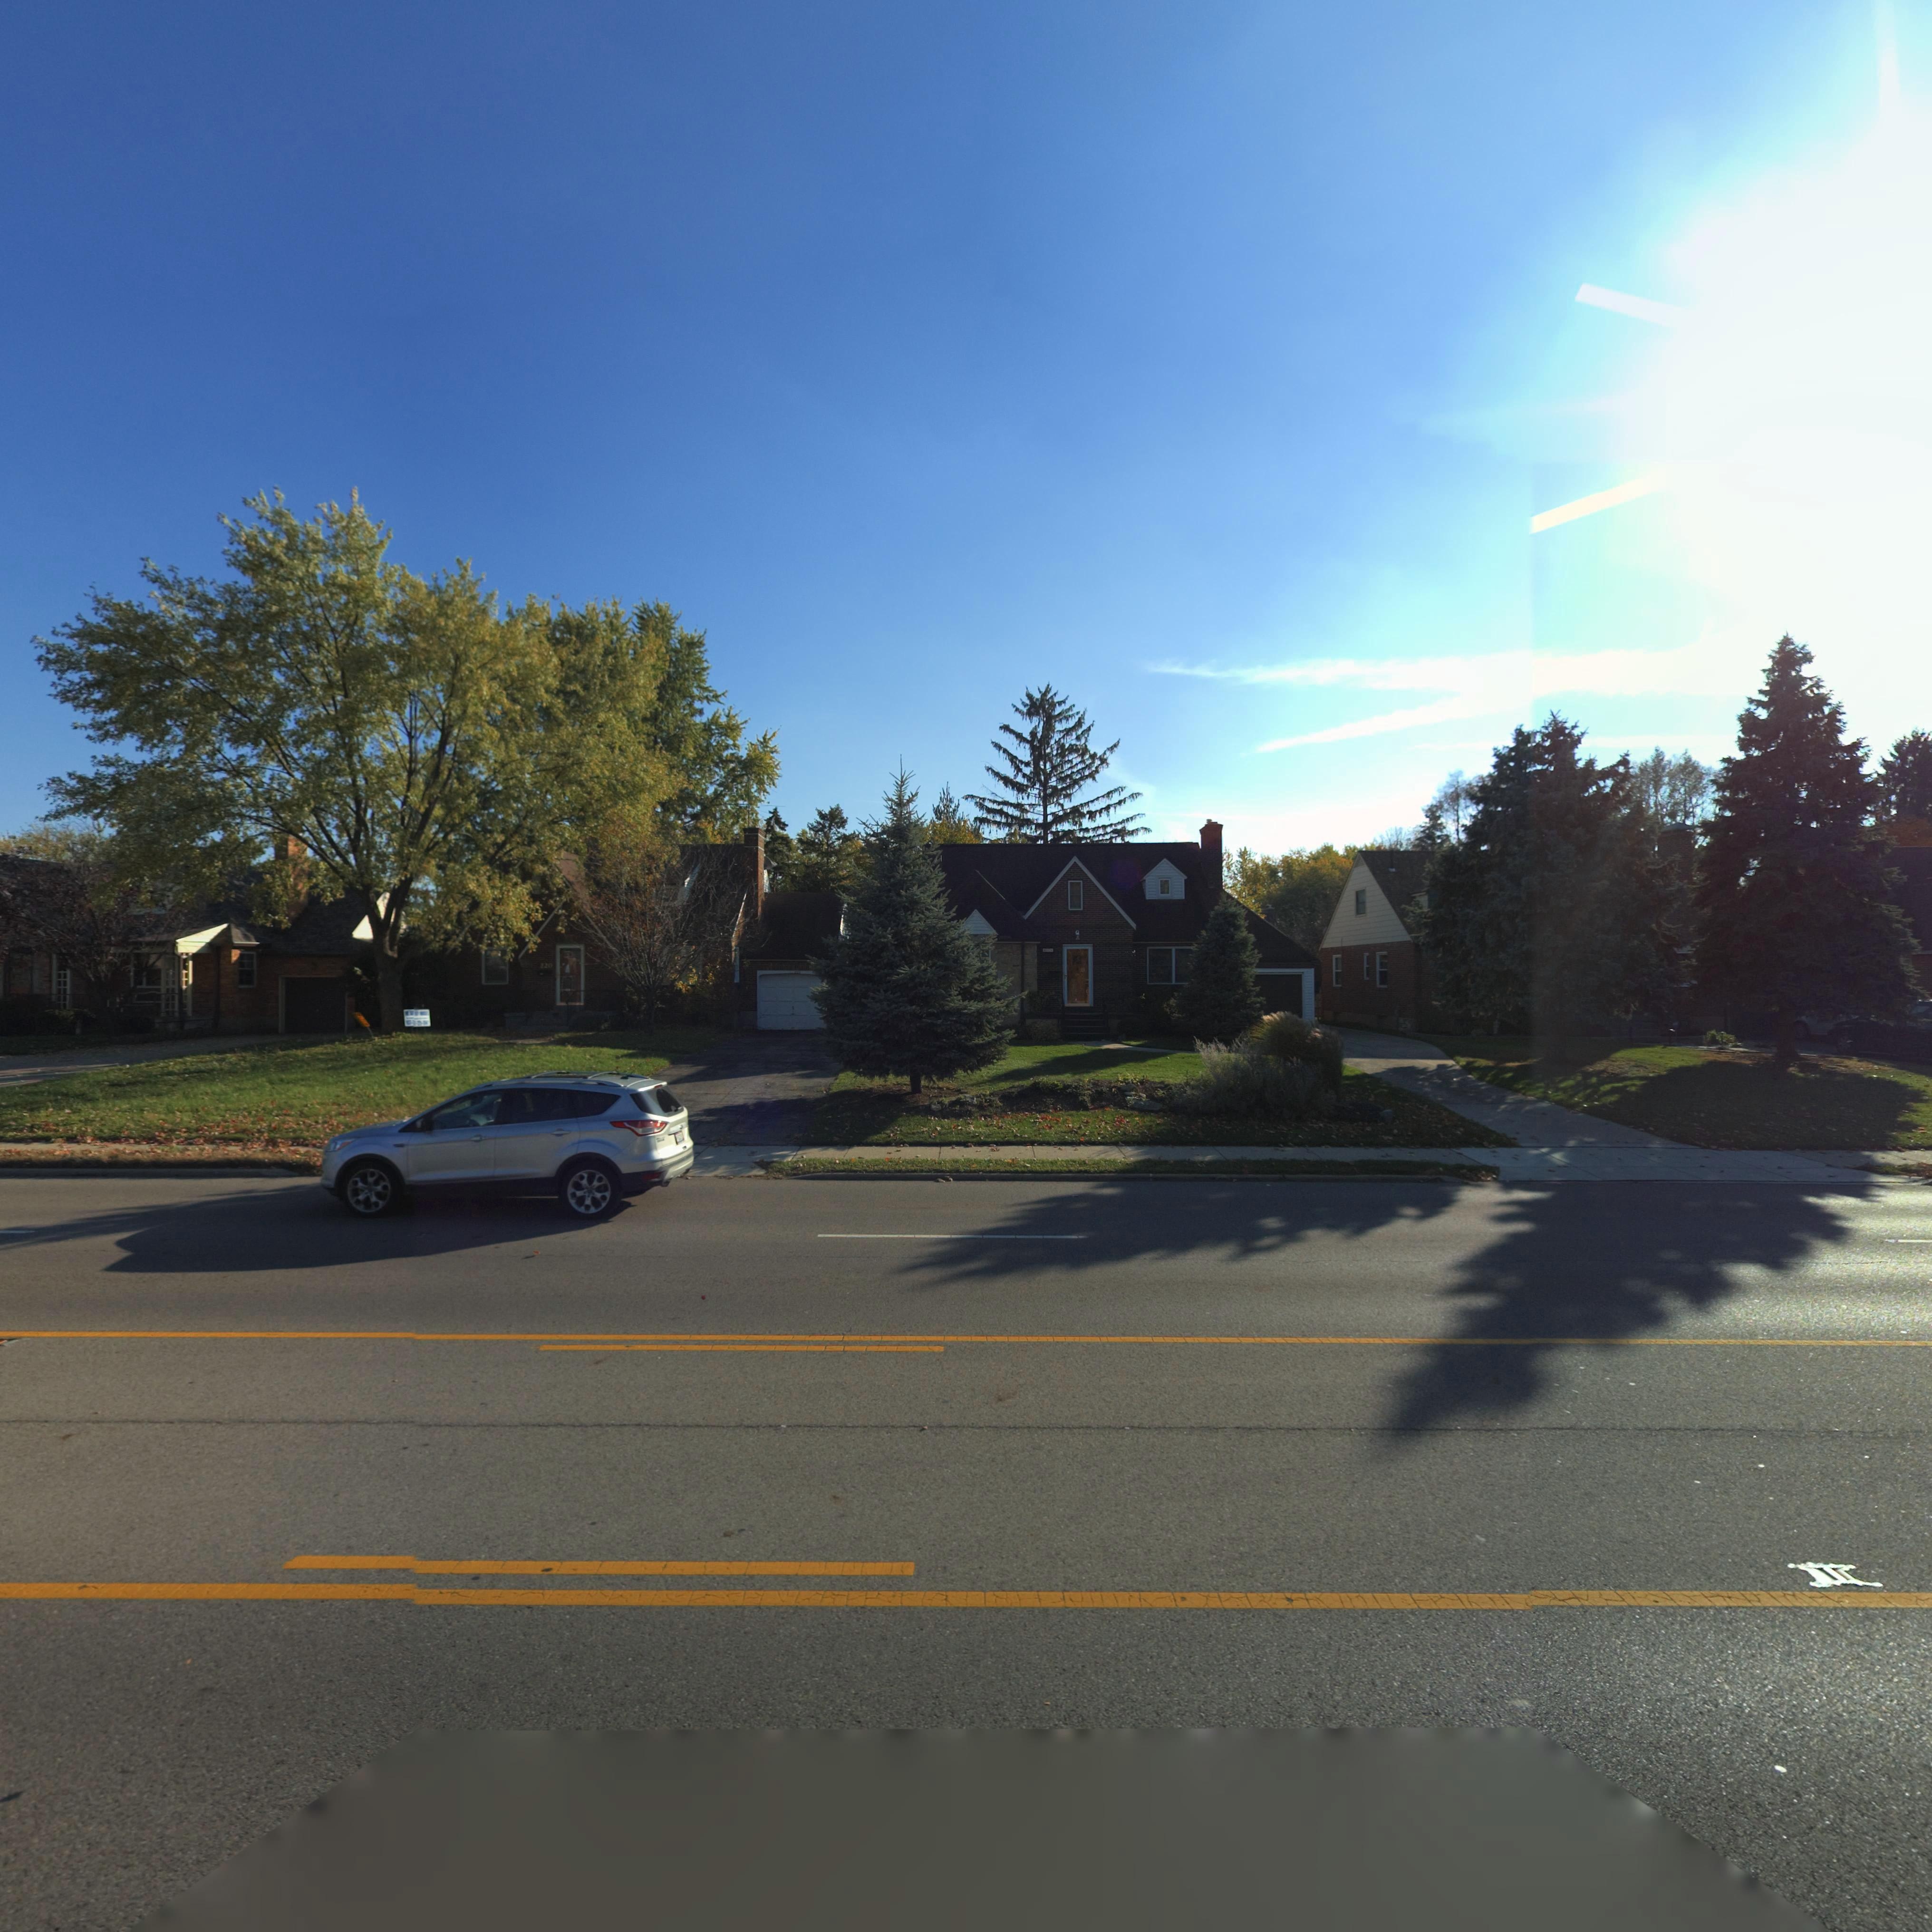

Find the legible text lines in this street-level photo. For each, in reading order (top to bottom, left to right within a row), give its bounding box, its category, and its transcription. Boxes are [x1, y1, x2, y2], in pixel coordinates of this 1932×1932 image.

[538, 962, 554, 969] StreetNumber: 220